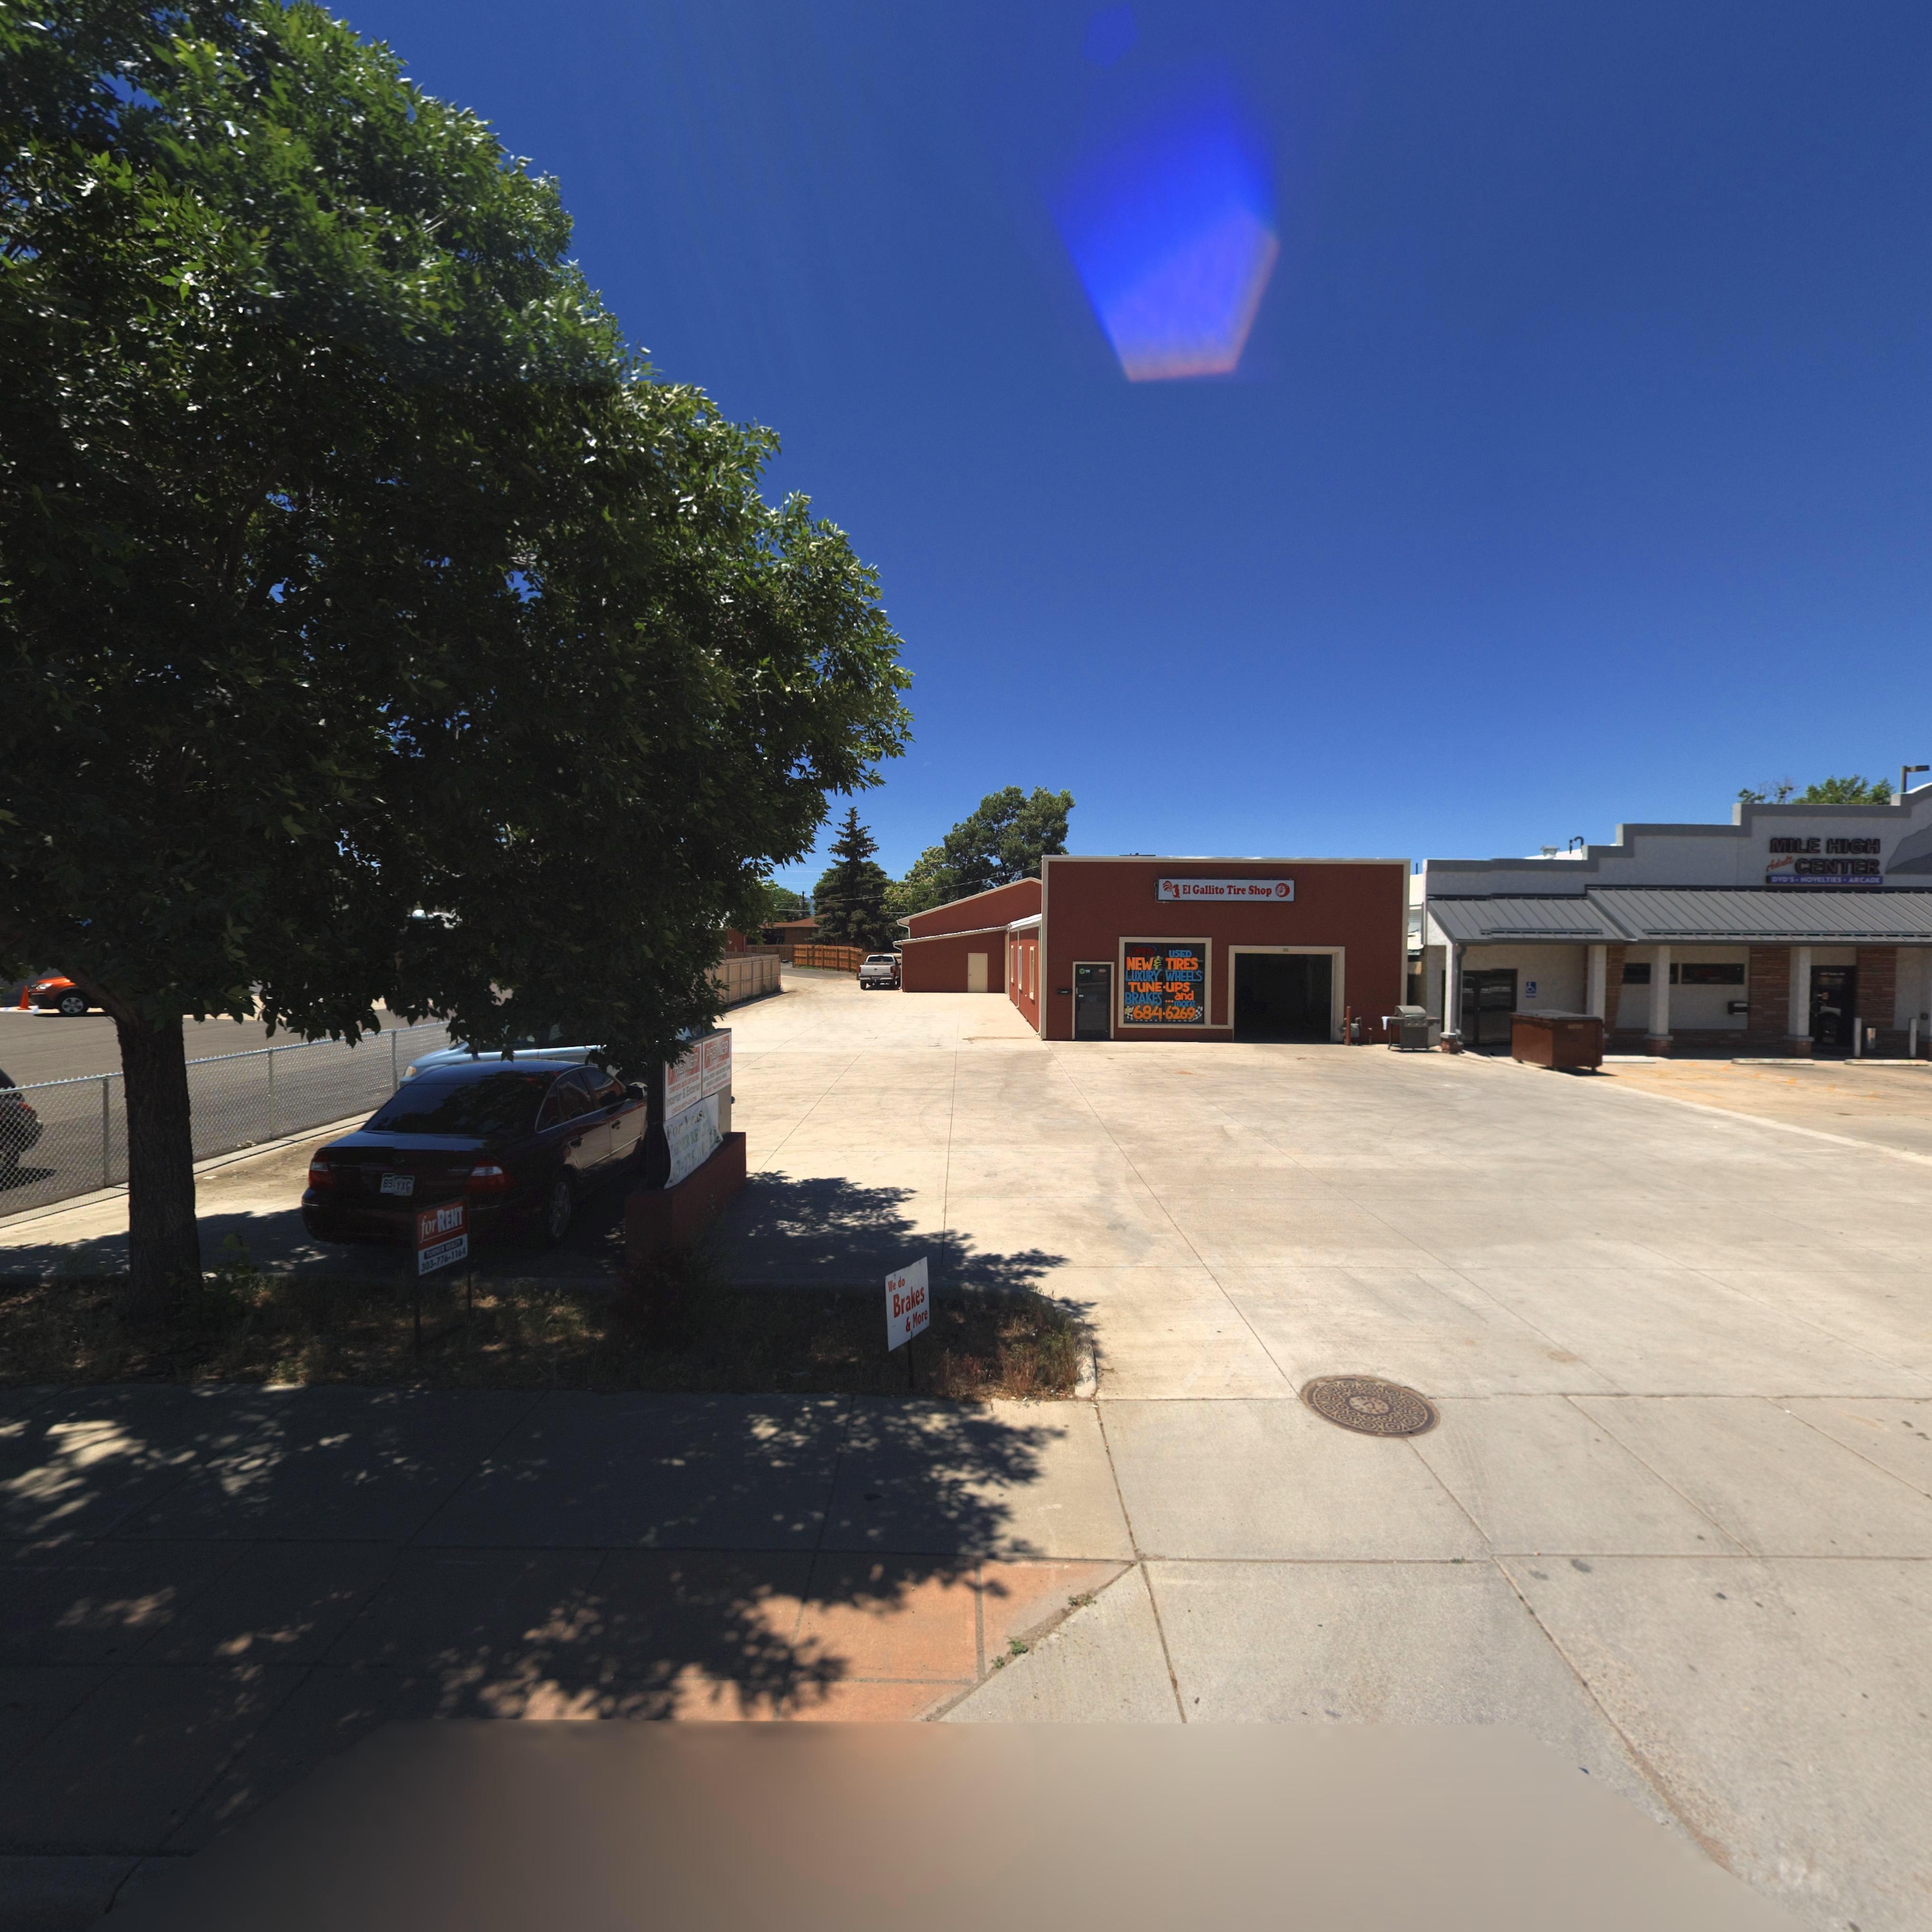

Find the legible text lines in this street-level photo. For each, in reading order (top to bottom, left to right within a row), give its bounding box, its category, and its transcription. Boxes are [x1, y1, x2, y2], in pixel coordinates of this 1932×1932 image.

[1768, 837, 1881, 854] BusinessName: MILE HIGH
[1765, 854, 1792, 872] BusinessName: Adult
[1793, 857, 1880, 875] BusinessName: CENTER
[1182, 884, 1272, 897] BusinessName: El Gallito Tire Shope